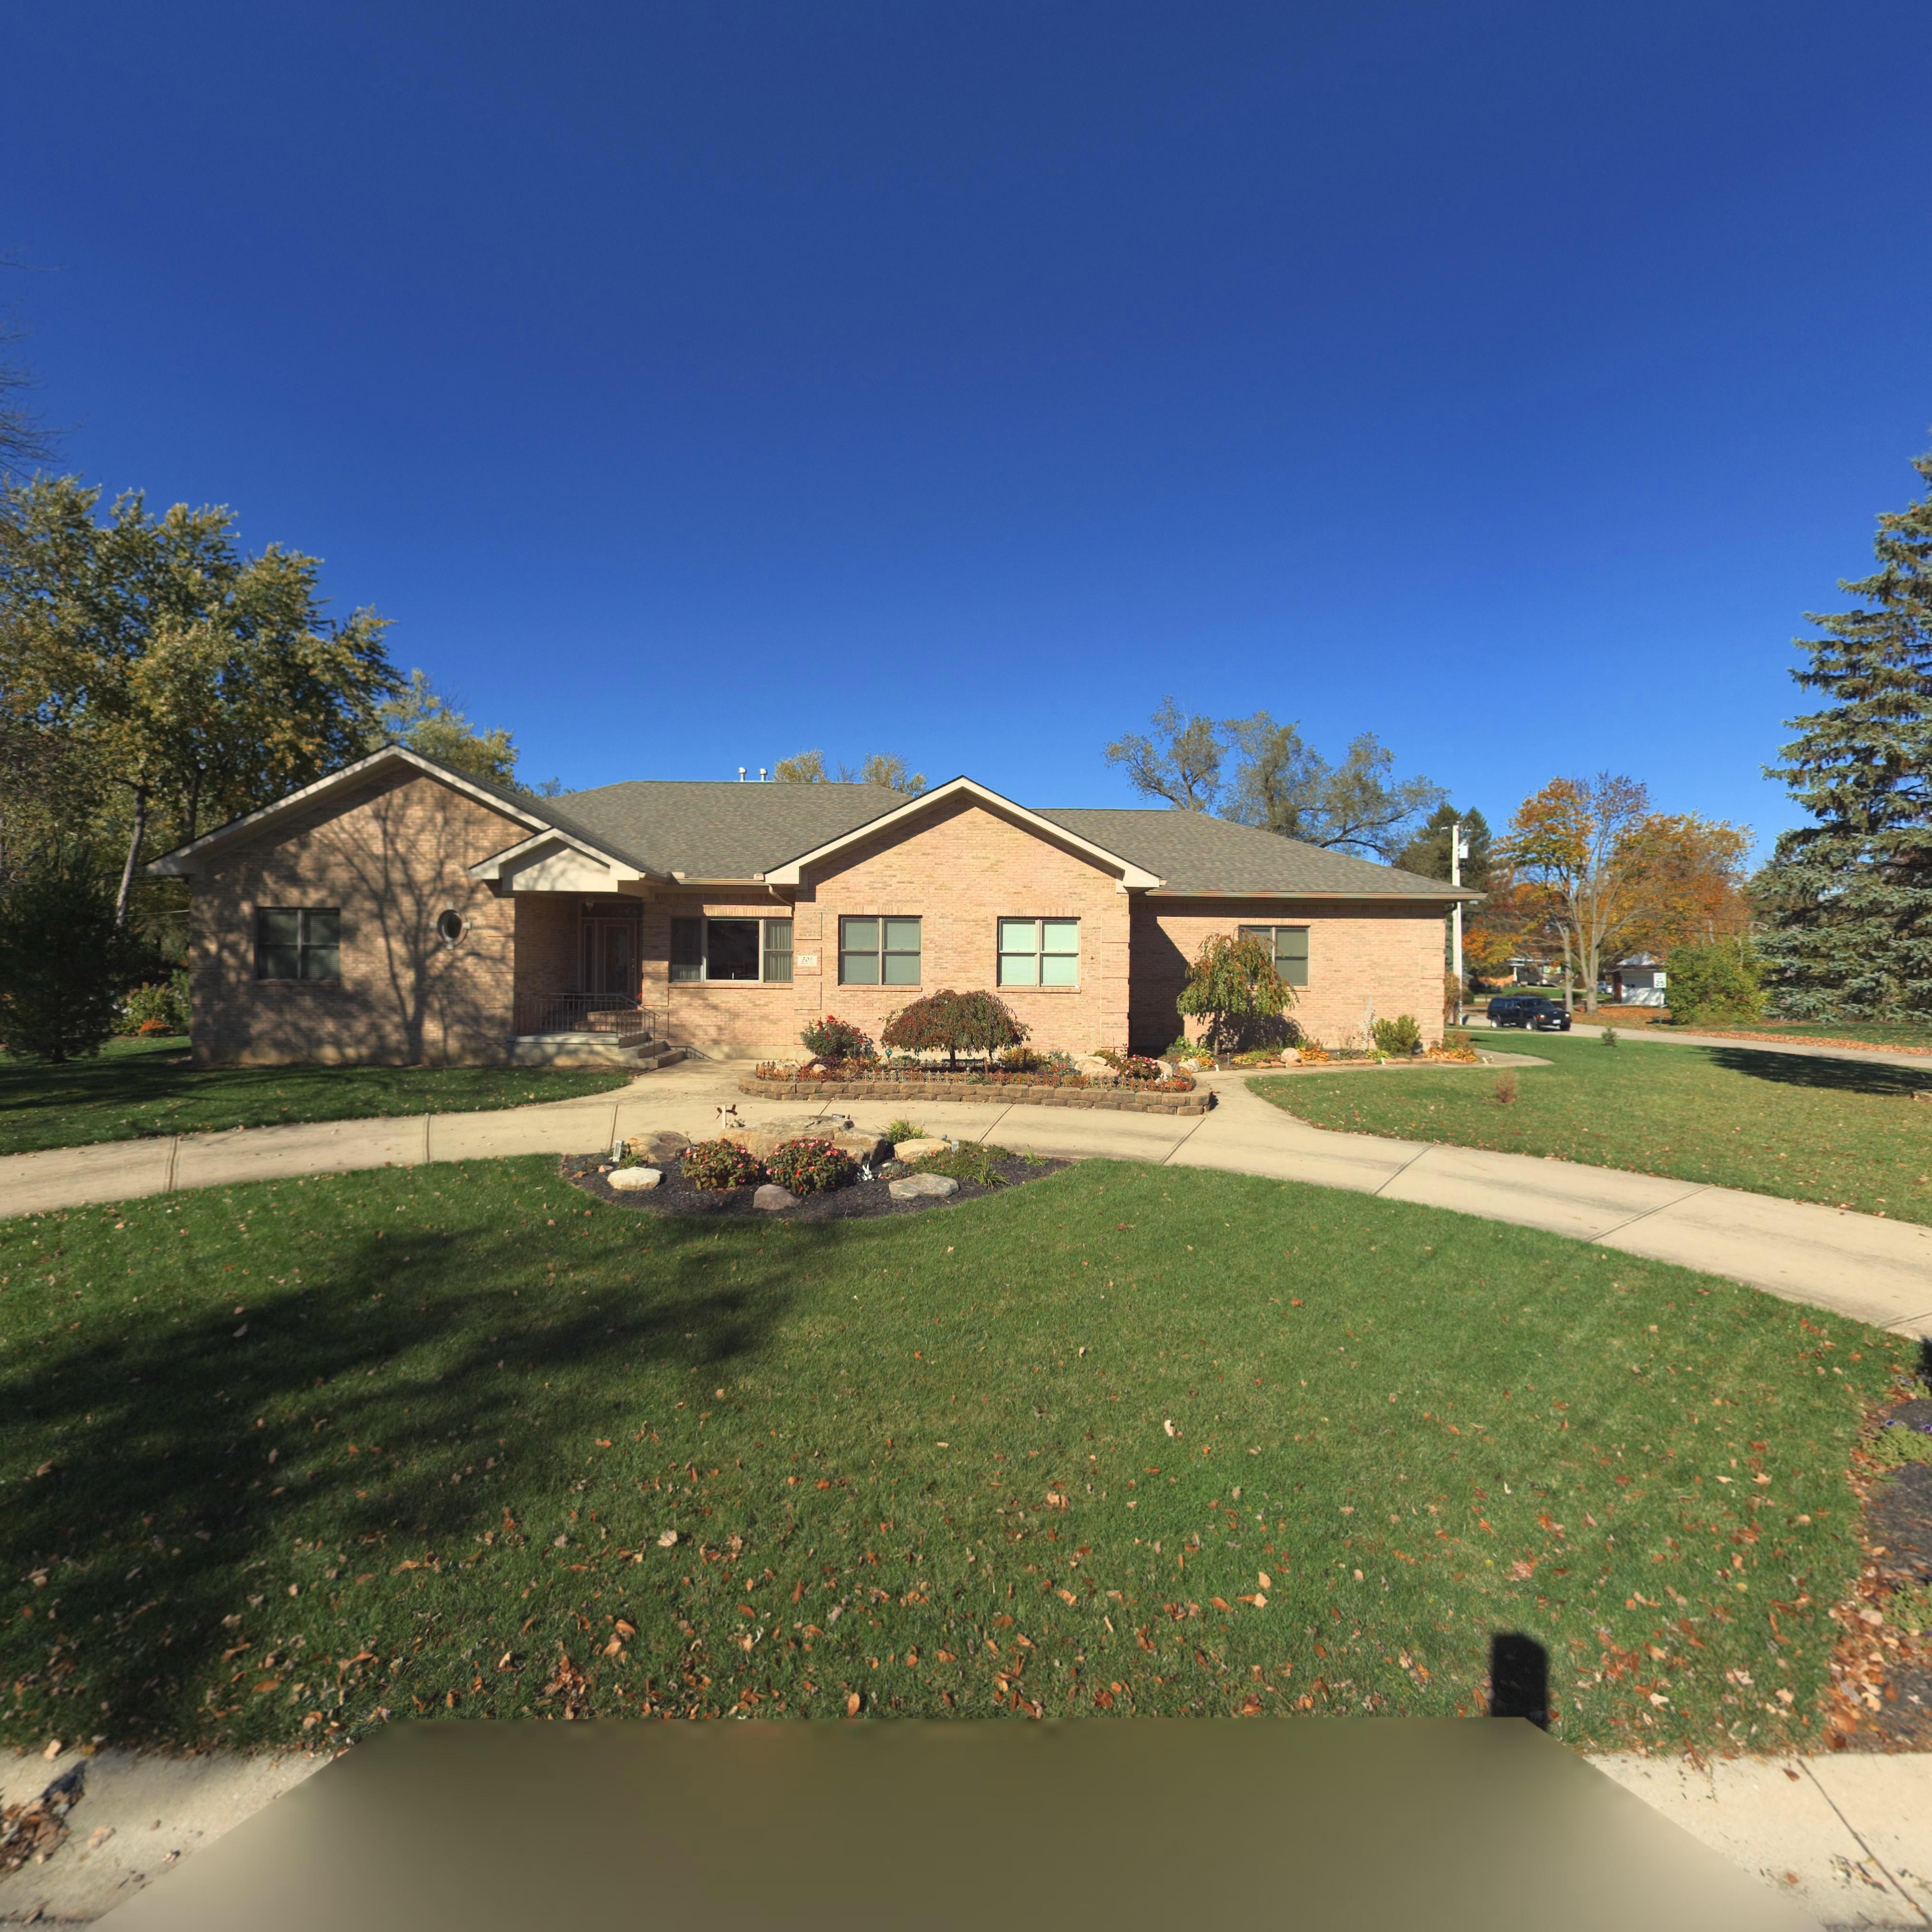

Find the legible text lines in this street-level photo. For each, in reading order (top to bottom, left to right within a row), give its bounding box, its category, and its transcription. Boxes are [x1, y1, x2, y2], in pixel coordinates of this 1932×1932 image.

[801, 956, 813, 962] StreetNumber: 503
[1654, 980, 1665, 986] None: 25